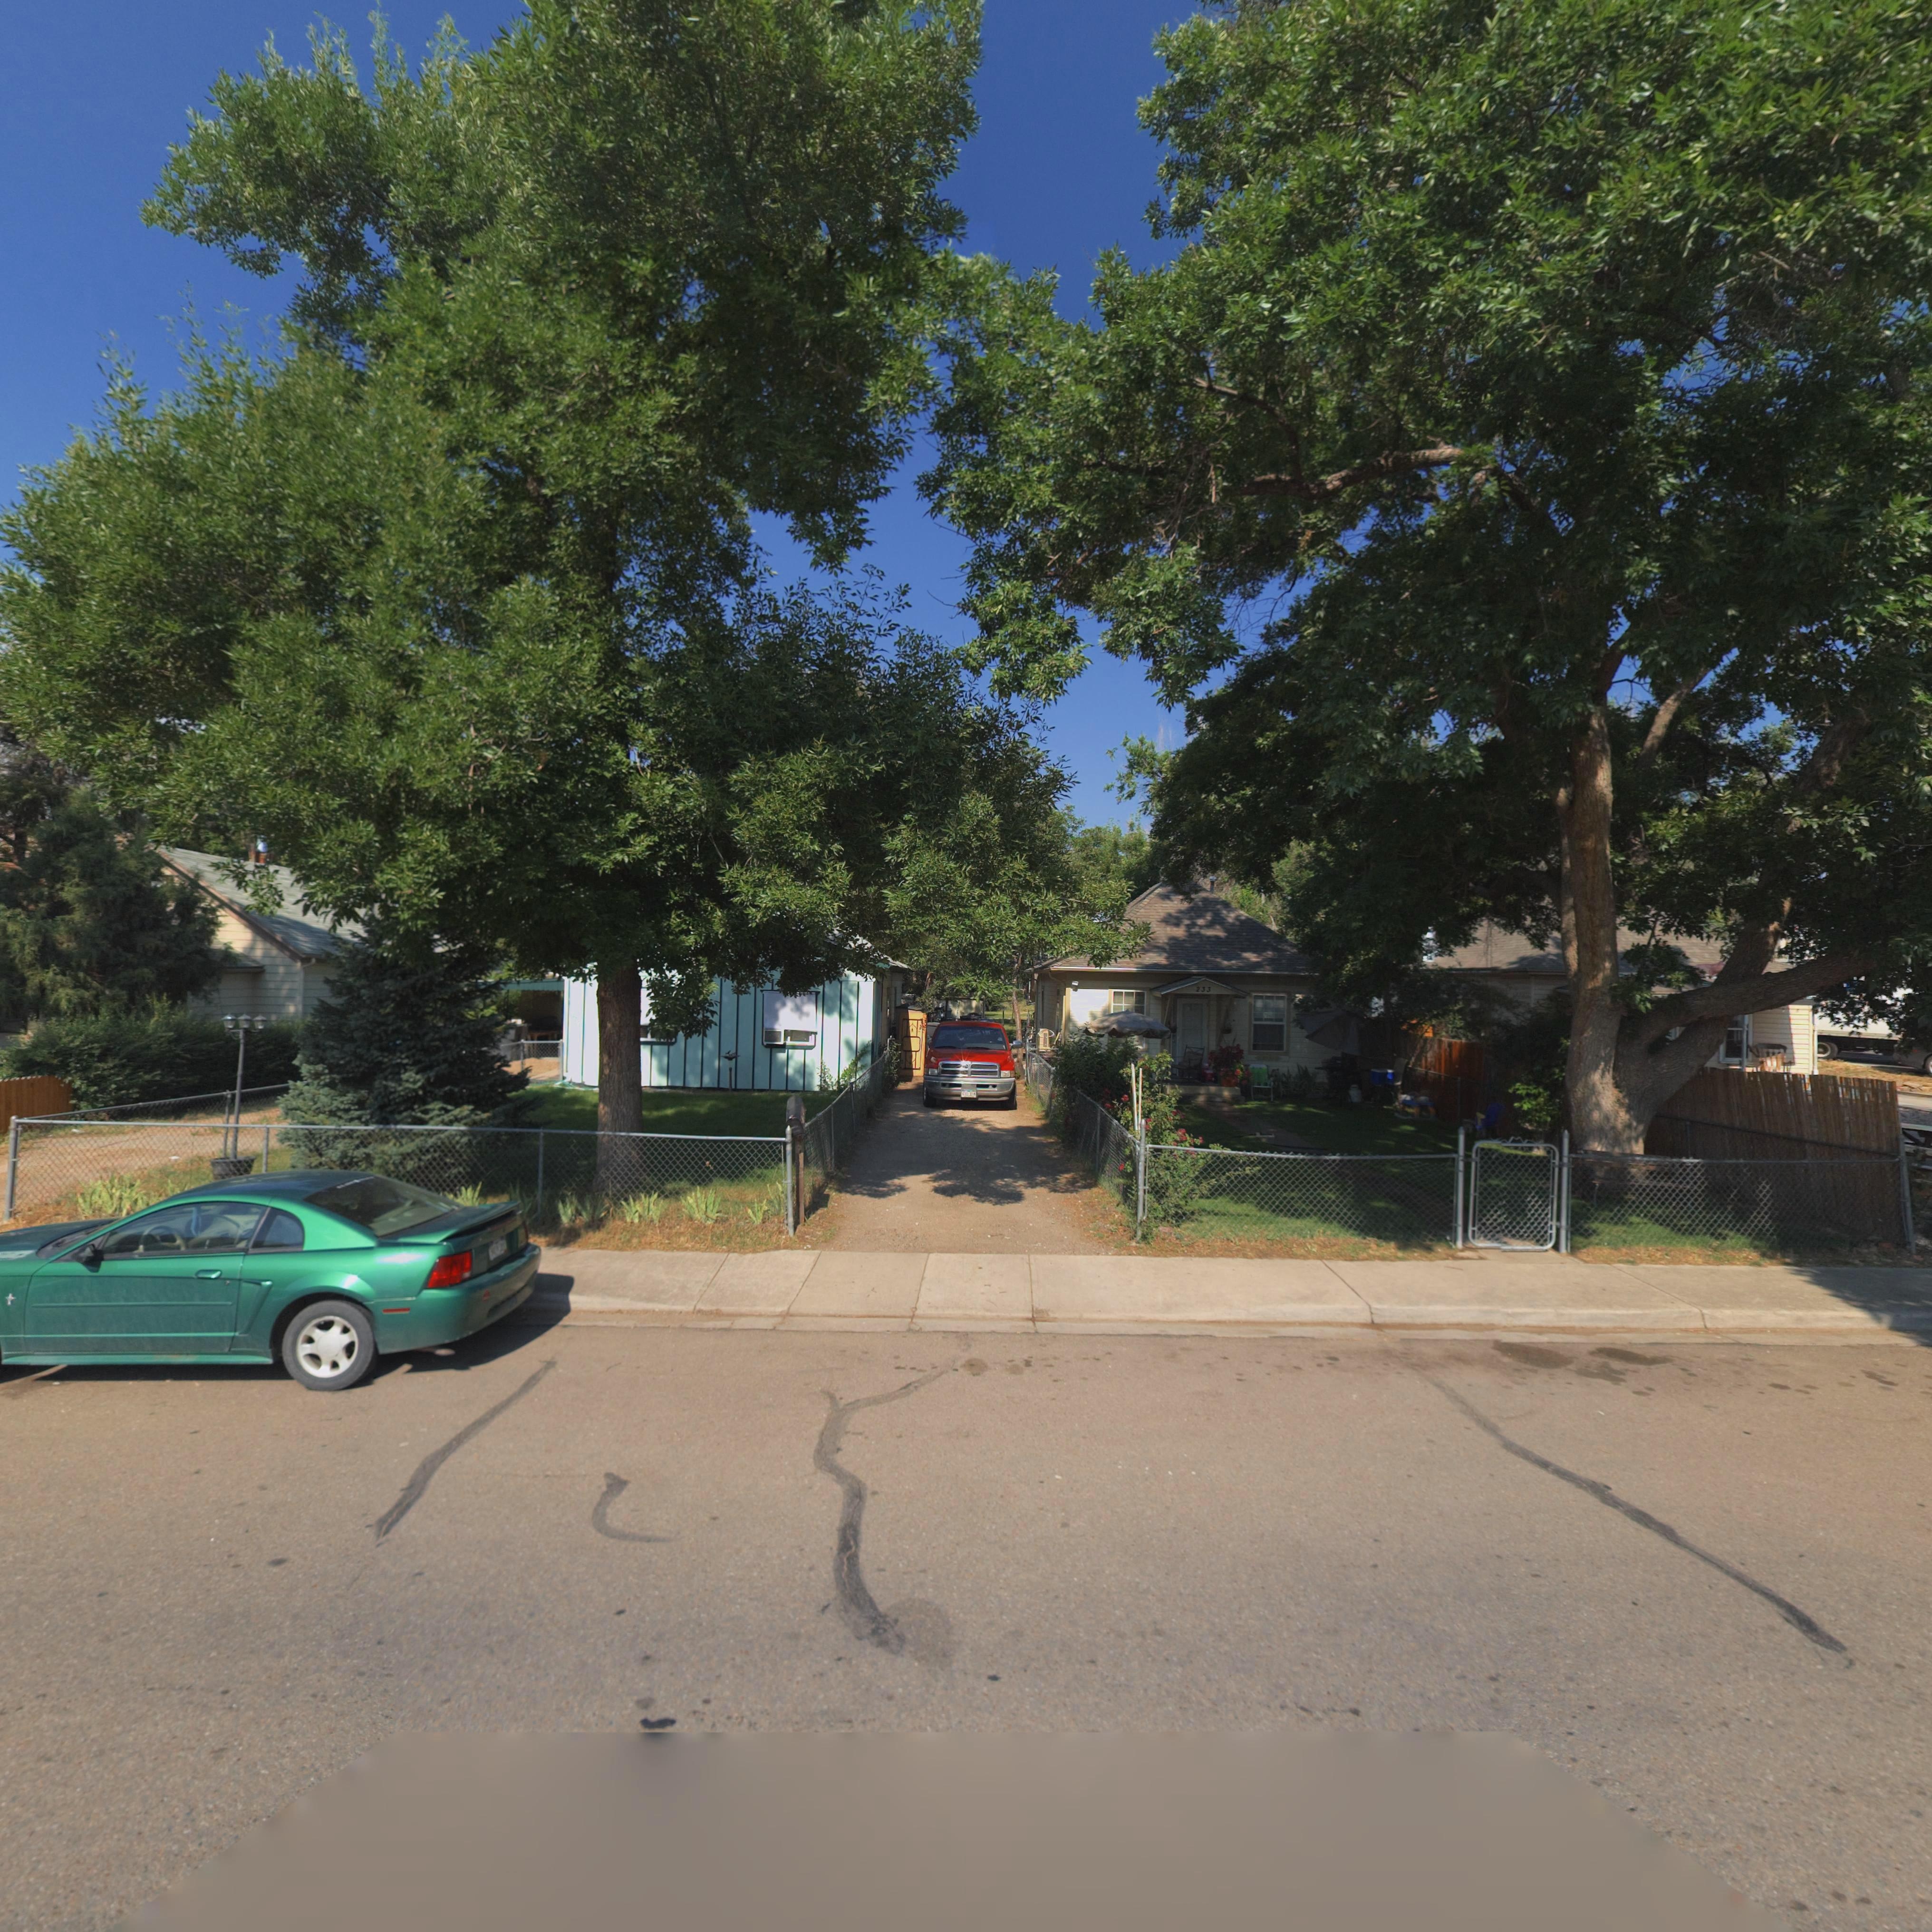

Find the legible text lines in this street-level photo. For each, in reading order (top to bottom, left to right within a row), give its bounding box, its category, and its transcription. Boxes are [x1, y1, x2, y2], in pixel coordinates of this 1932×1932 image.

[1195, 985, 1211, 993] StreetNumber: 233